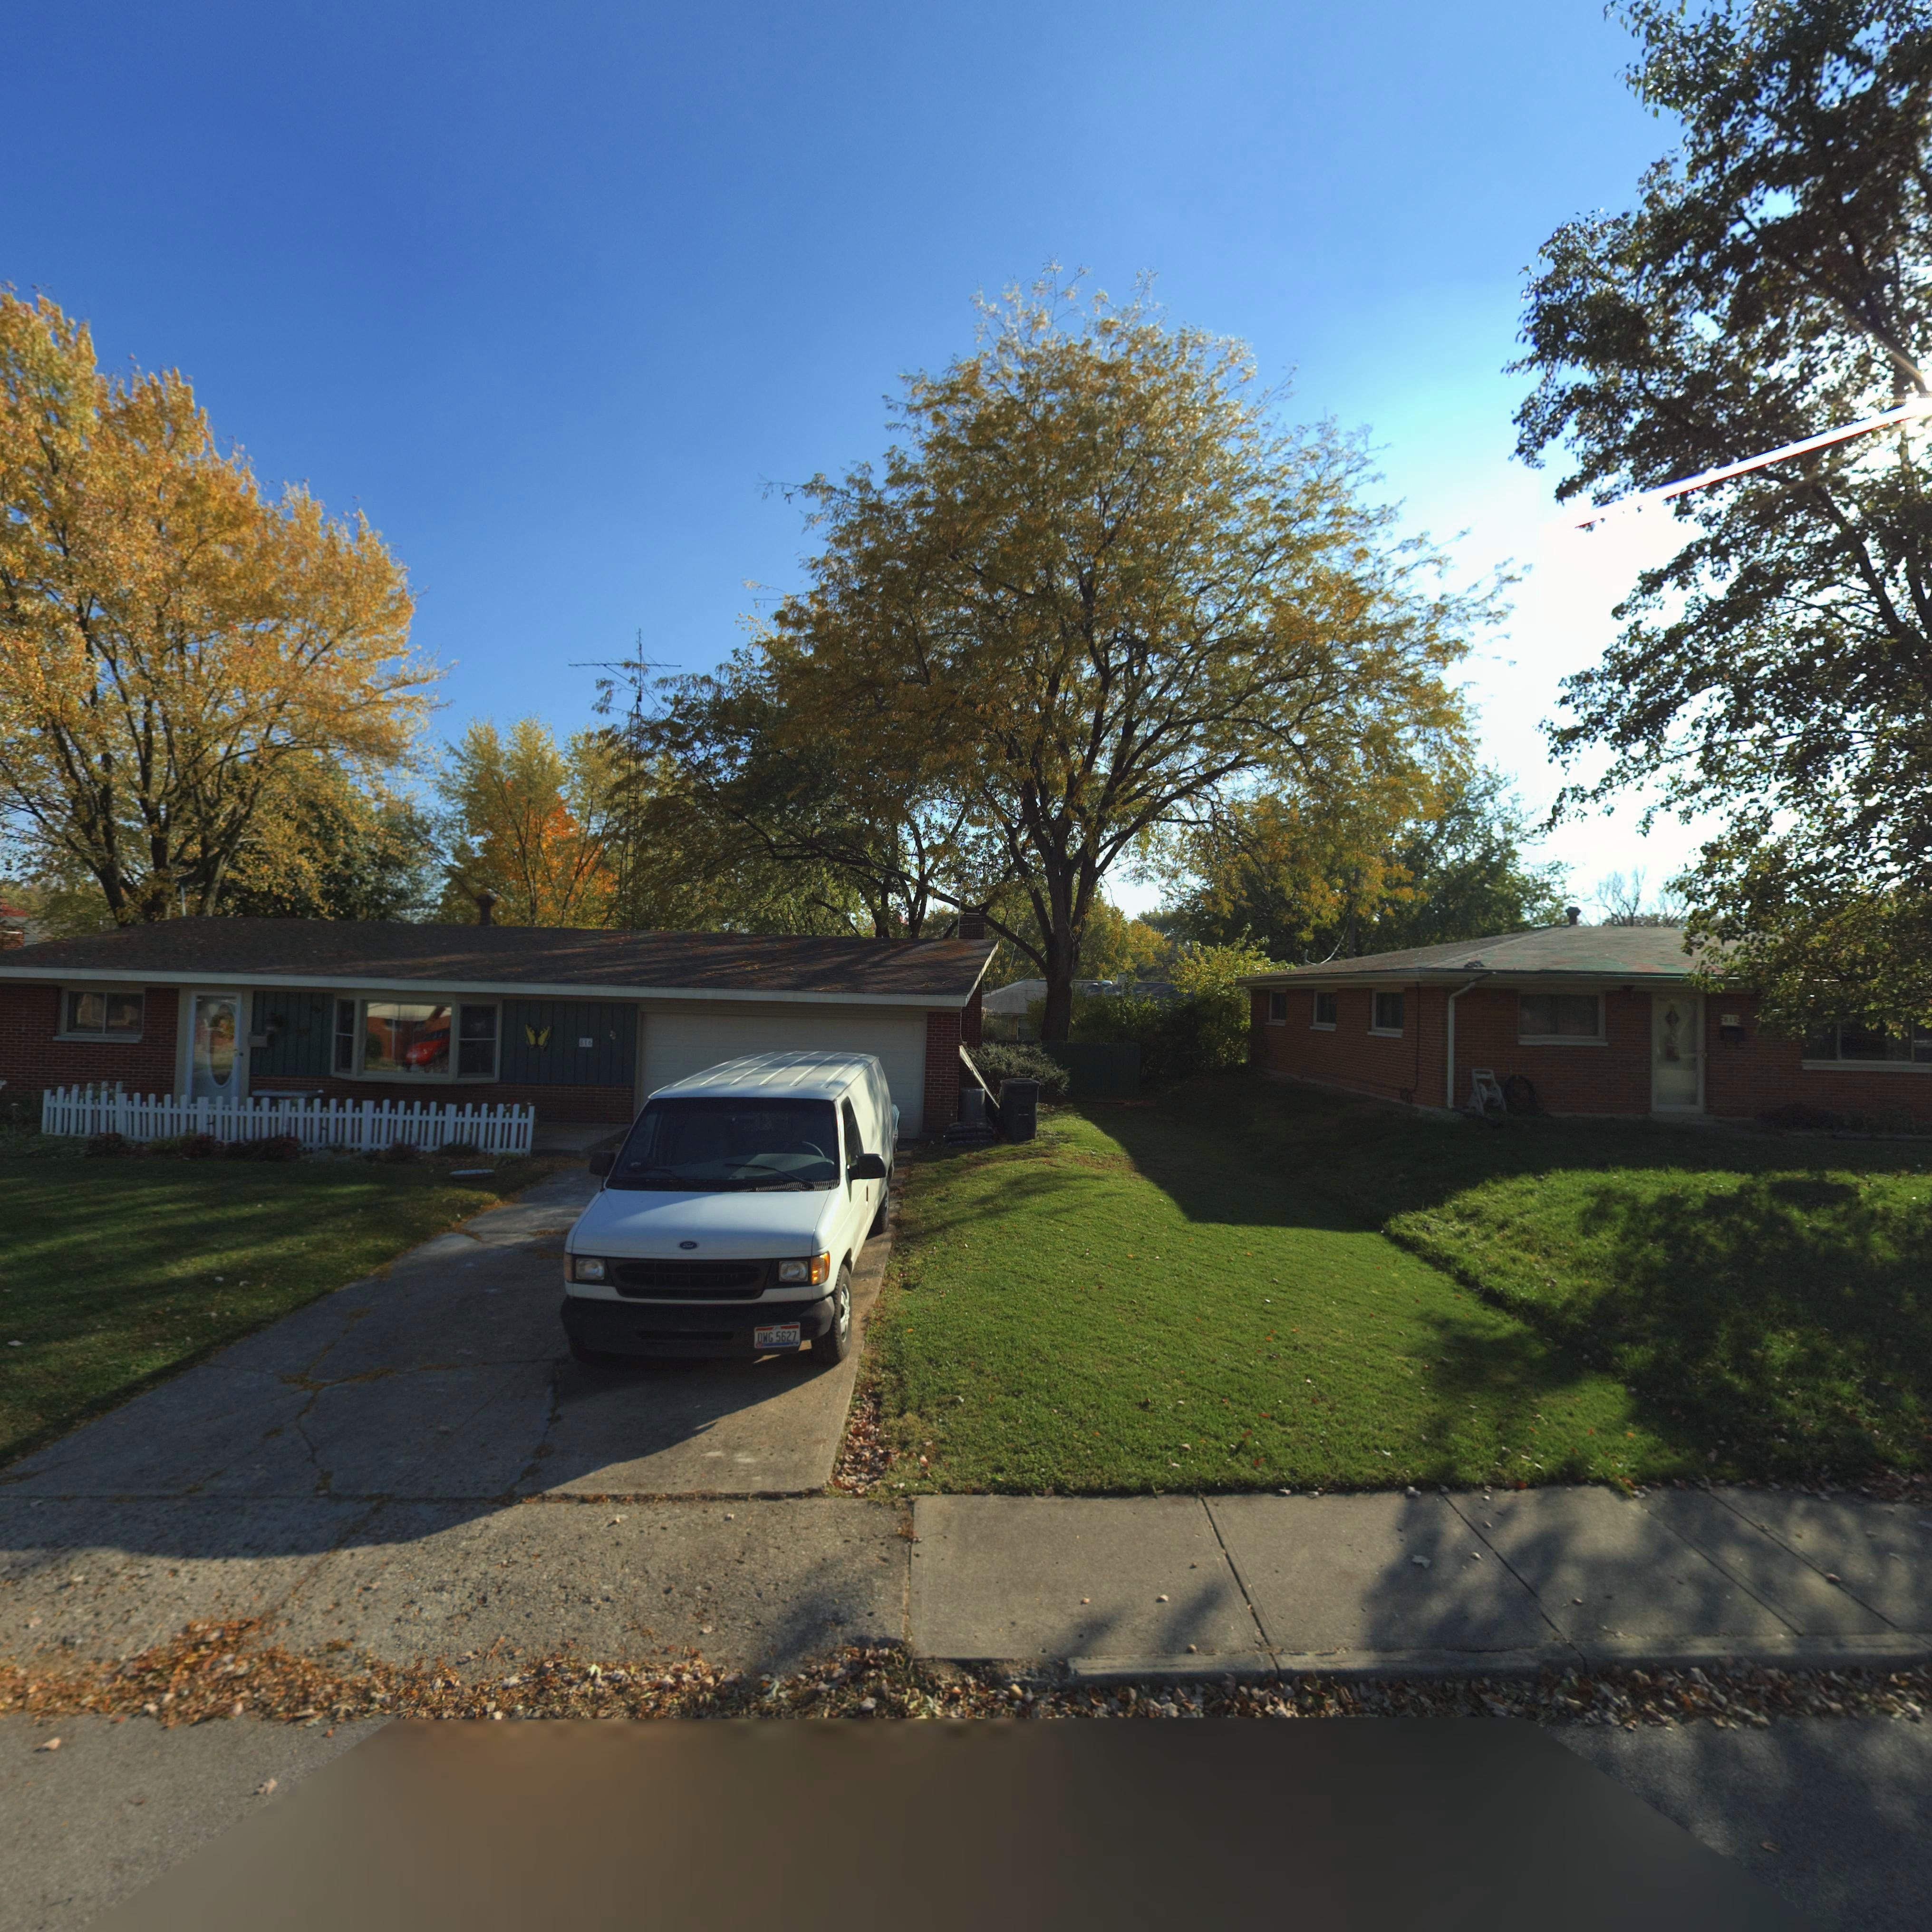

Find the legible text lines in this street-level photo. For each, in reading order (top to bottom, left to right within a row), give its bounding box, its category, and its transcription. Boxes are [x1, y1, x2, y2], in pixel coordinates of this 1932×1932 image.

[1723, 1015, 1738, 1023] StreetNumber: 812
[579, 1039, 592, 1046] StreetNumber: 816